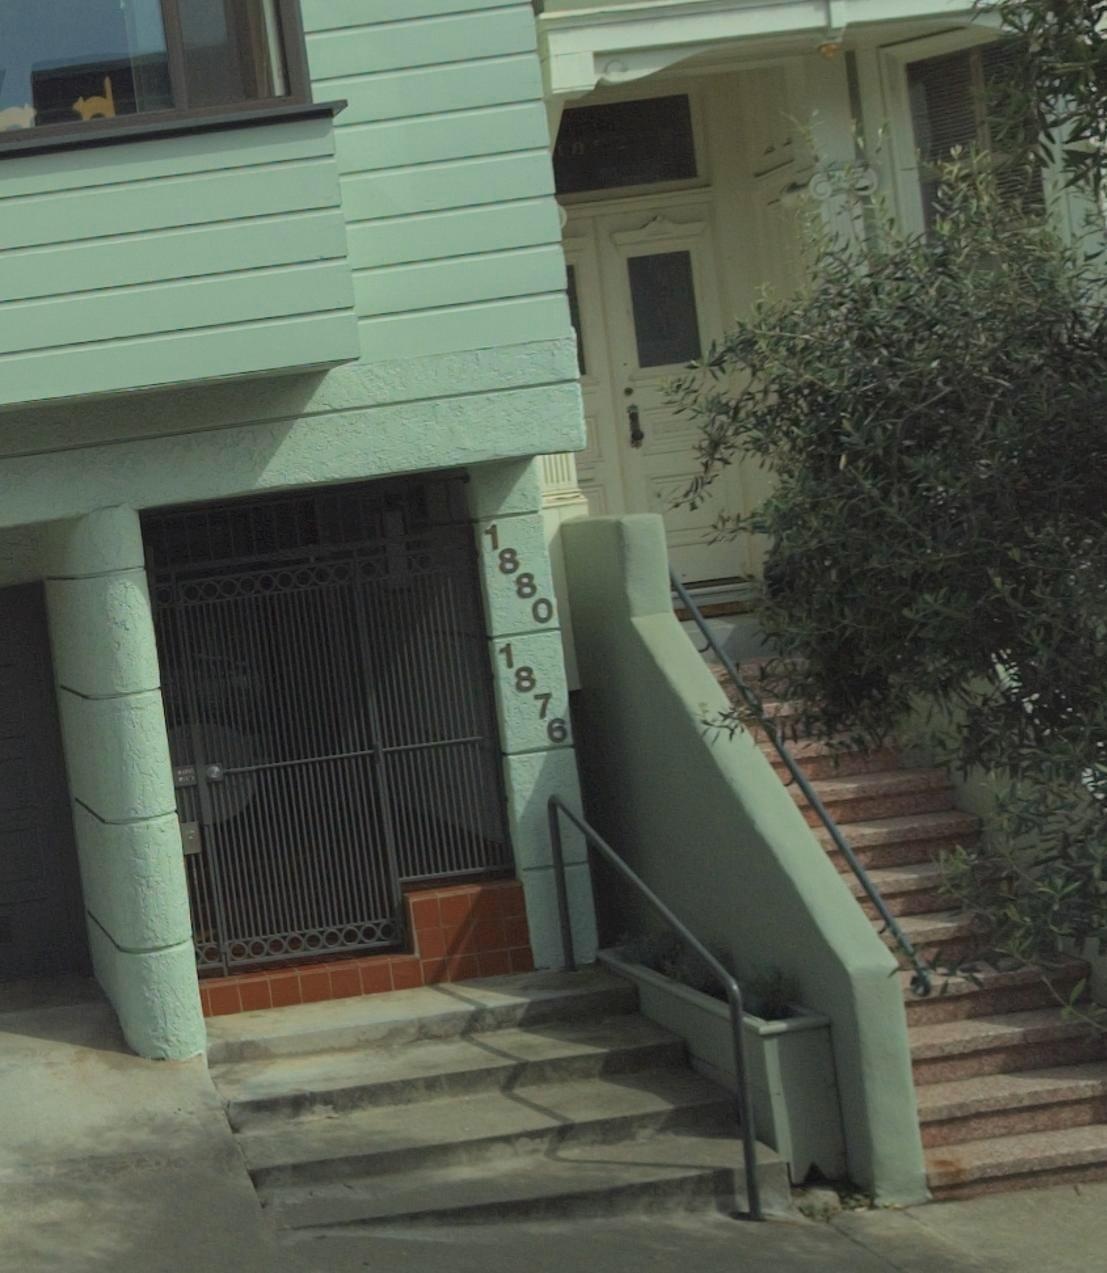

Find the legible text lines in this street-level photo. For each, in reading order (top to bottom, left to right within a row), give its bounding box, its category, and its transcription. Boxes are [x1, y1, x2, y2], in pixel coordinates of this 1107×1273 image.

[478, 519, 560, 627] StreetNumber: 1880
[495, 637, 576, 747] StreetNumber: 1876